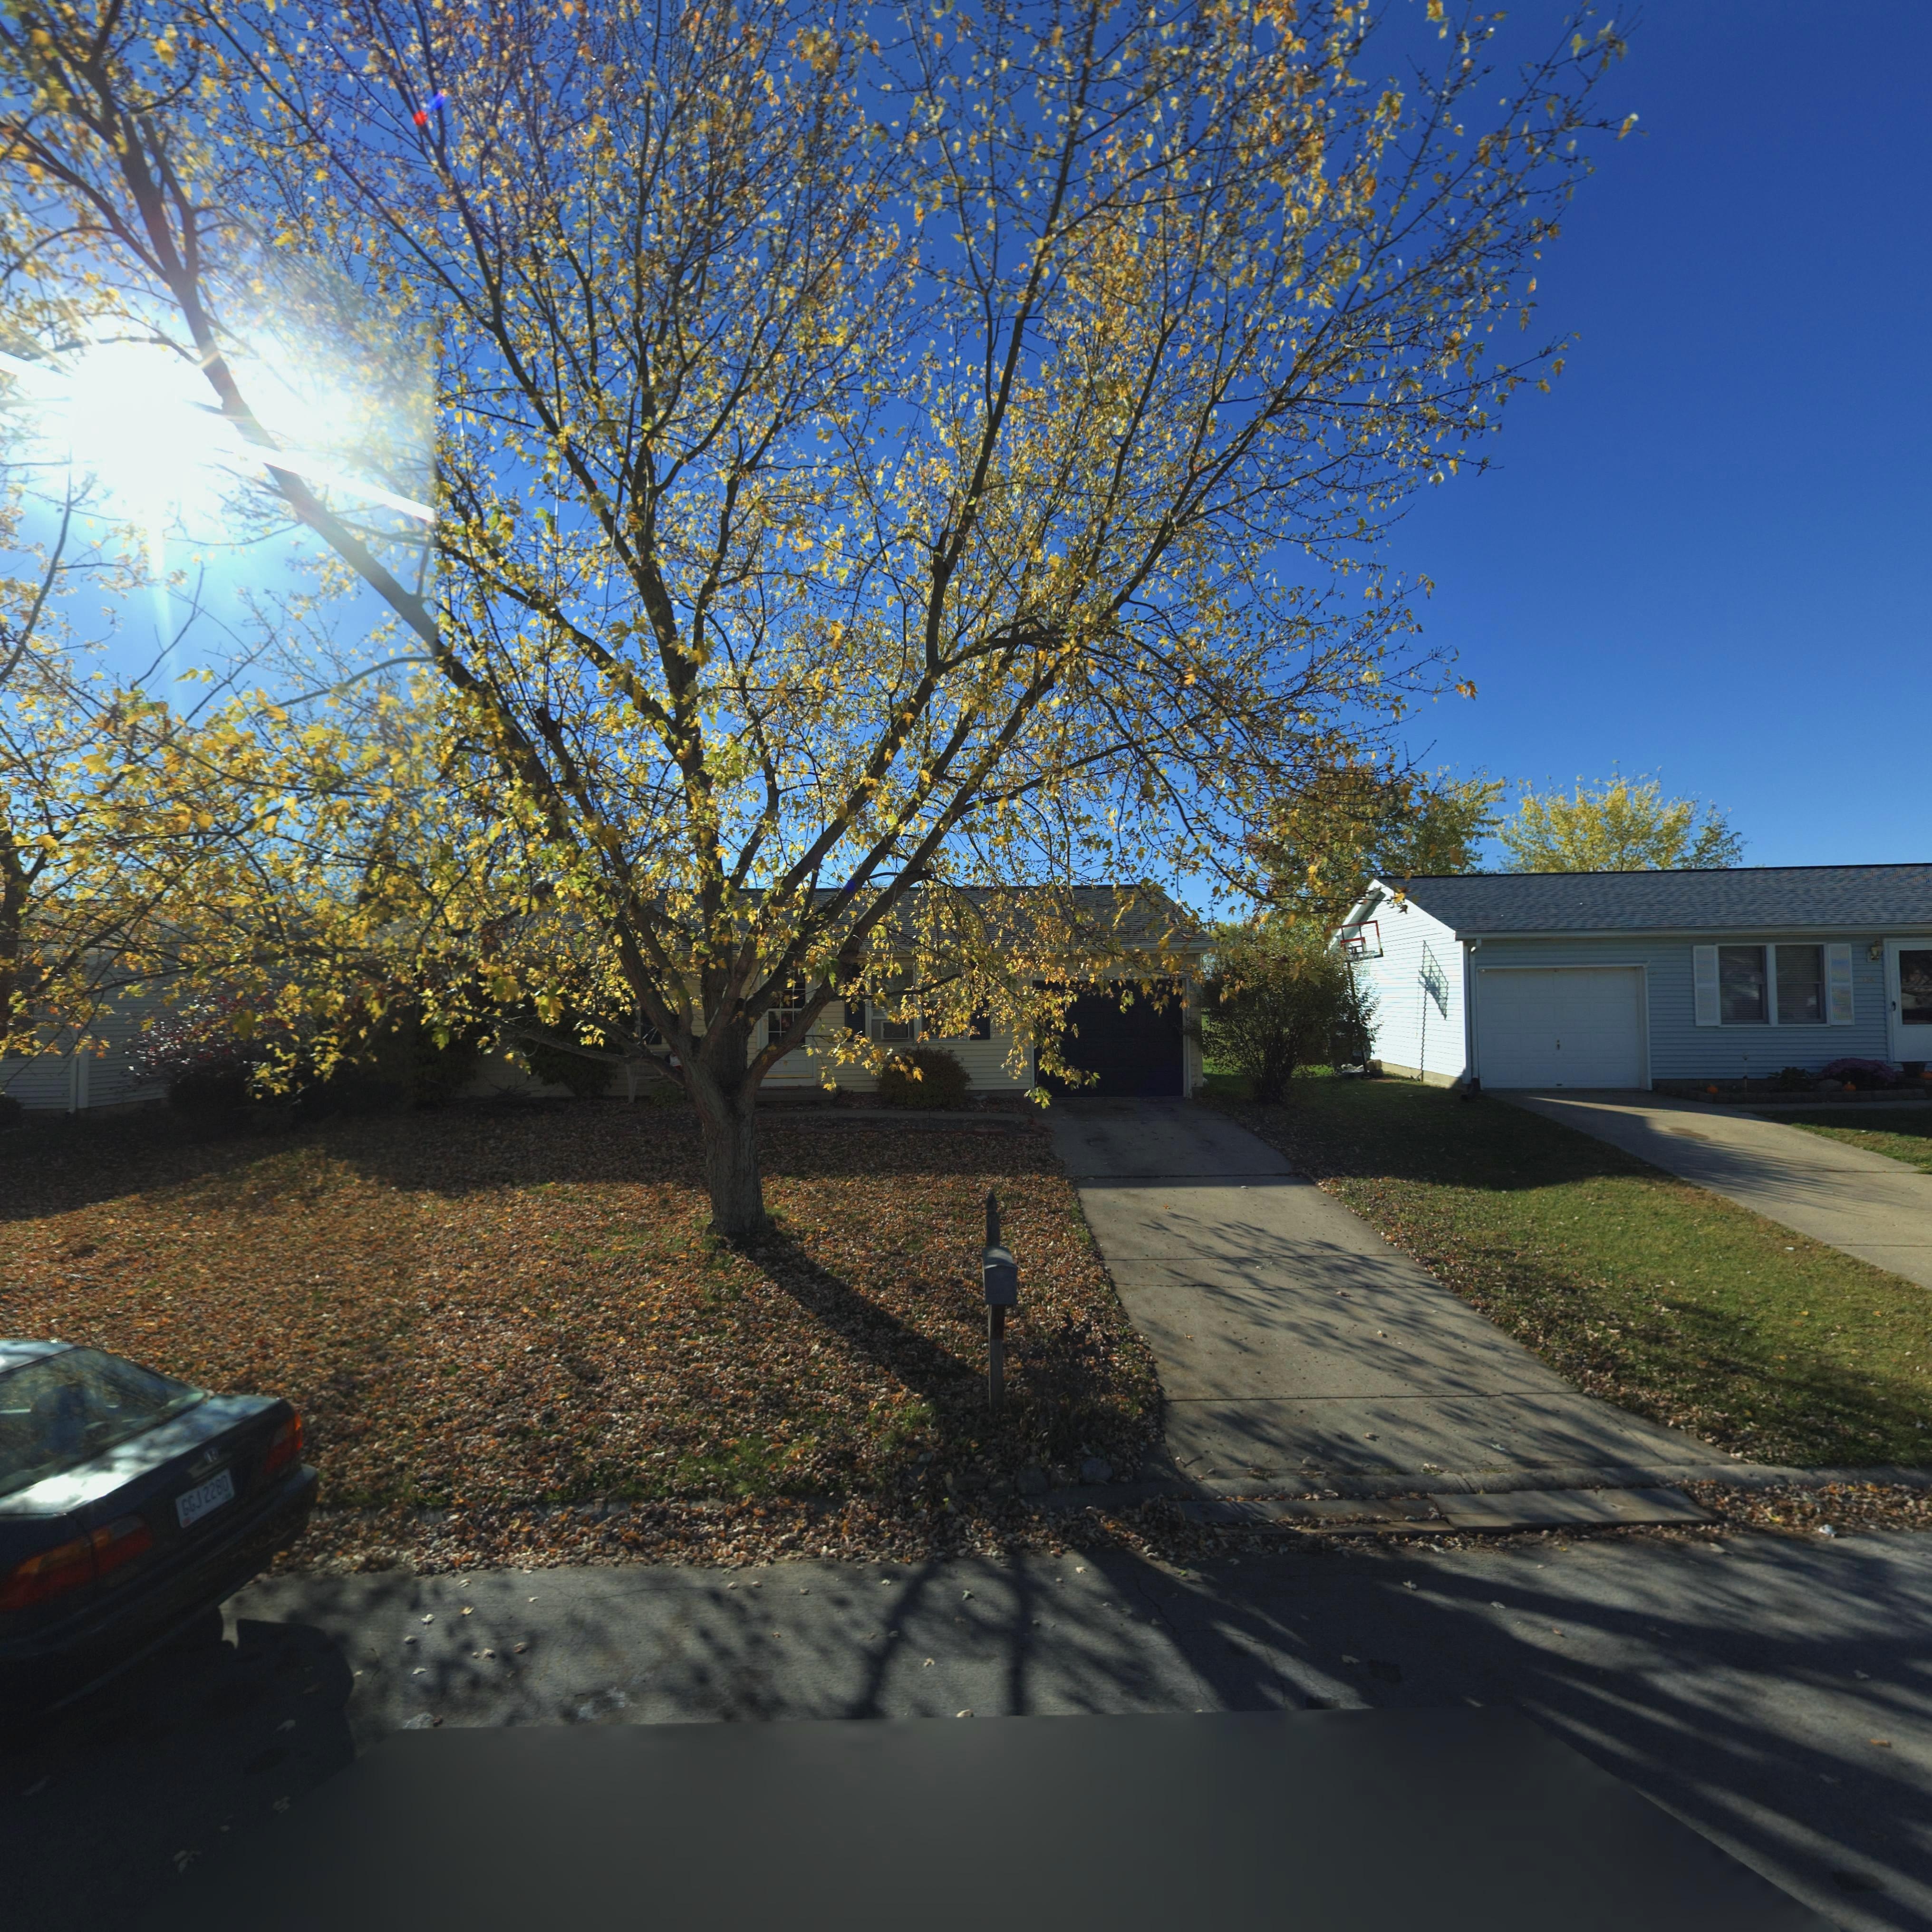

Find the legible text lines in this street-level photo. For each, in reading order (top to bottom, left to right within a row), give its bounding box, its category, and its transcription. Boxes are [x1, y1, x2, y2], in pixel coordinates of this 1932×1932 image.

[1860, 976, 1874, 984] StreetNumber: 1**